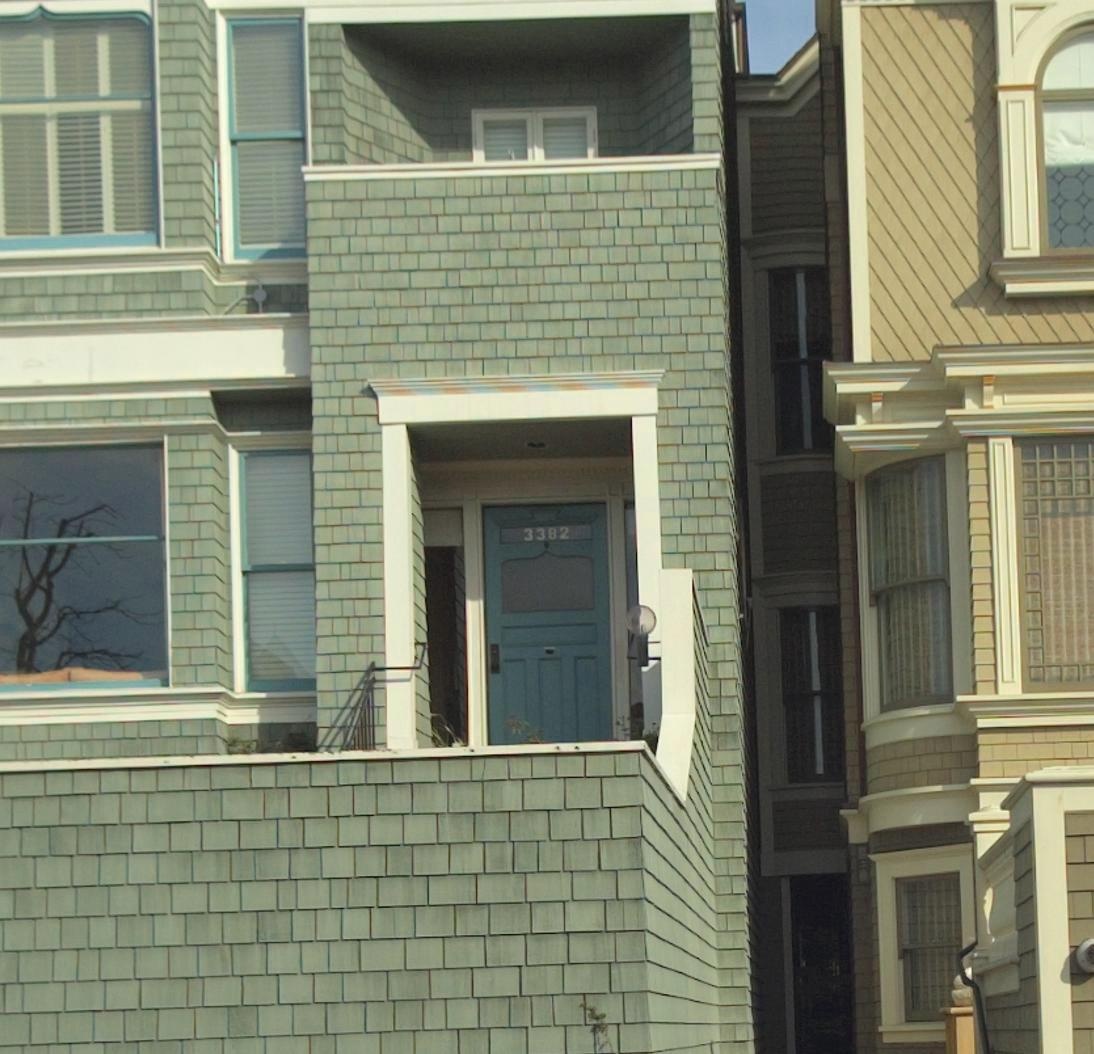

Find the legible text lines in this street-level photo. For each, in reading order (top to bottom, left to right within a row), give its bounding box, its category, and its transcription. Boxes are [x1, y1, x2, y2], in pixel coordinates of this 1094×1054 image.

[522, 525, 572, 543] StreetNumber: 3382